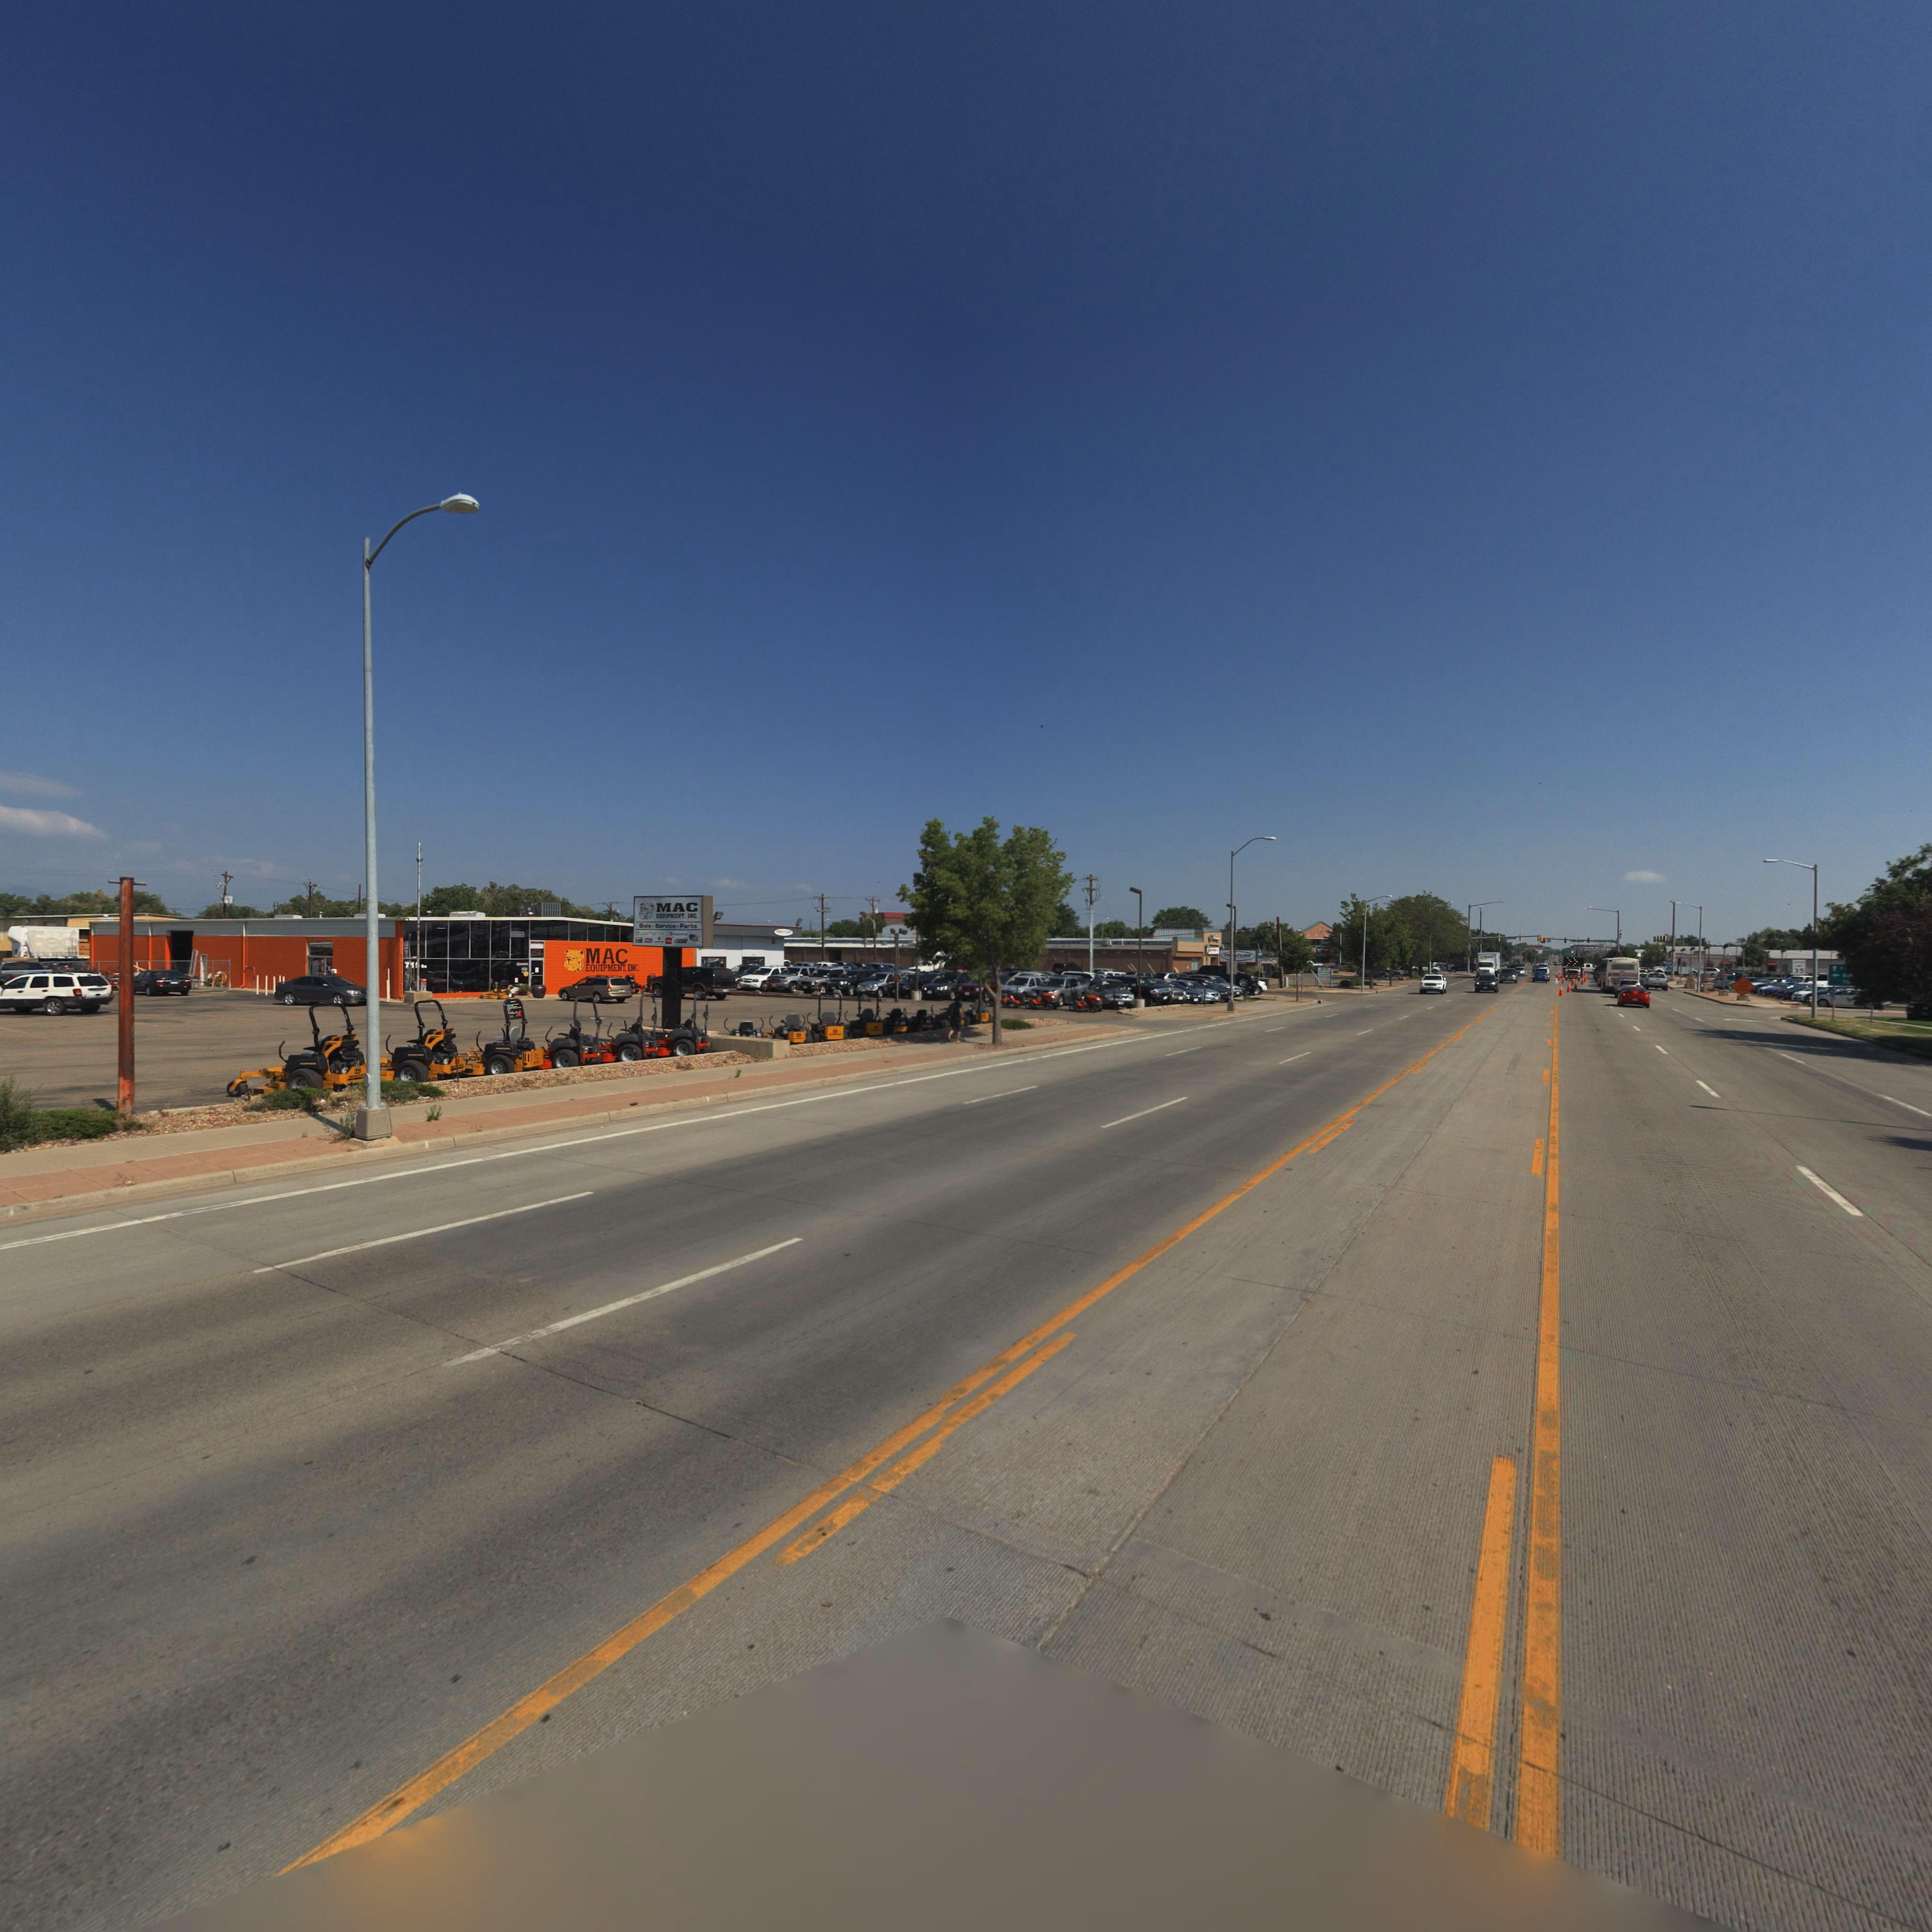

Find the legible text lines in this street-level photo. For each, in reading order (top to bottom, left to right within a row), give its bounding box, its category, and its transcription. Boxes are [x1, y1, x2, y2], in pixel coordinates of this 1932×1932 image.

[656, 902, 698, 912] BusinessName: MAC
[656, 913, 698, 919] BusinessName: EQUIPMENT, INC.
[585, 947, 628, 964] BusinessName: MAC
[1223, 953, 1252, 957] BusinessName: F***TLINE
[585, 964, 641, 972] BusinessName: EQUIPMENT, INC.